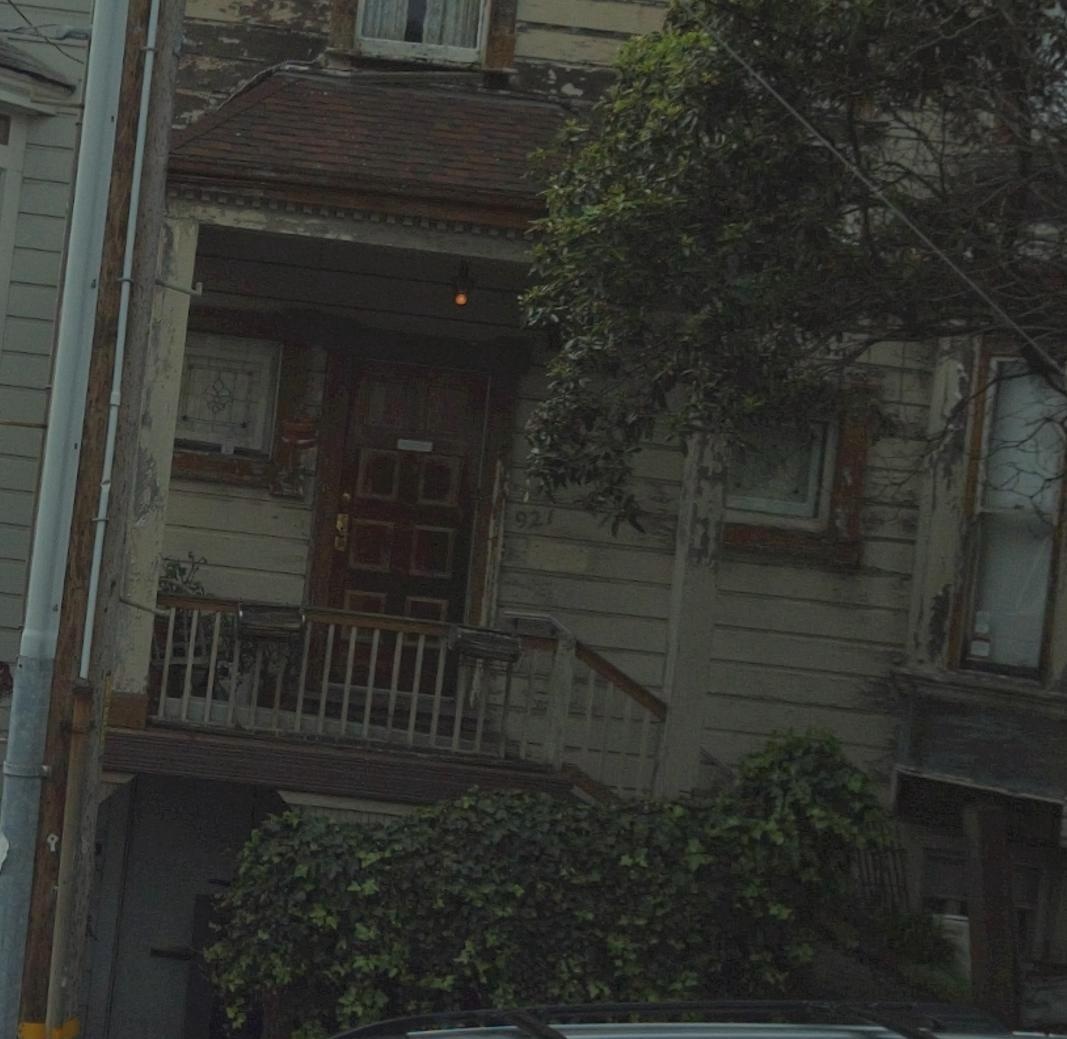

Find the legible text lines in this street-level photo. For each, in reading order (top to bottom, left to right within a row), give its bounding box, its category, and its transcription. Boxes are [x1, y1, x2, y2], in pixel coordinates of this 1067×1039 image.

[513, 506, 556, 531] StreetNumber: 921